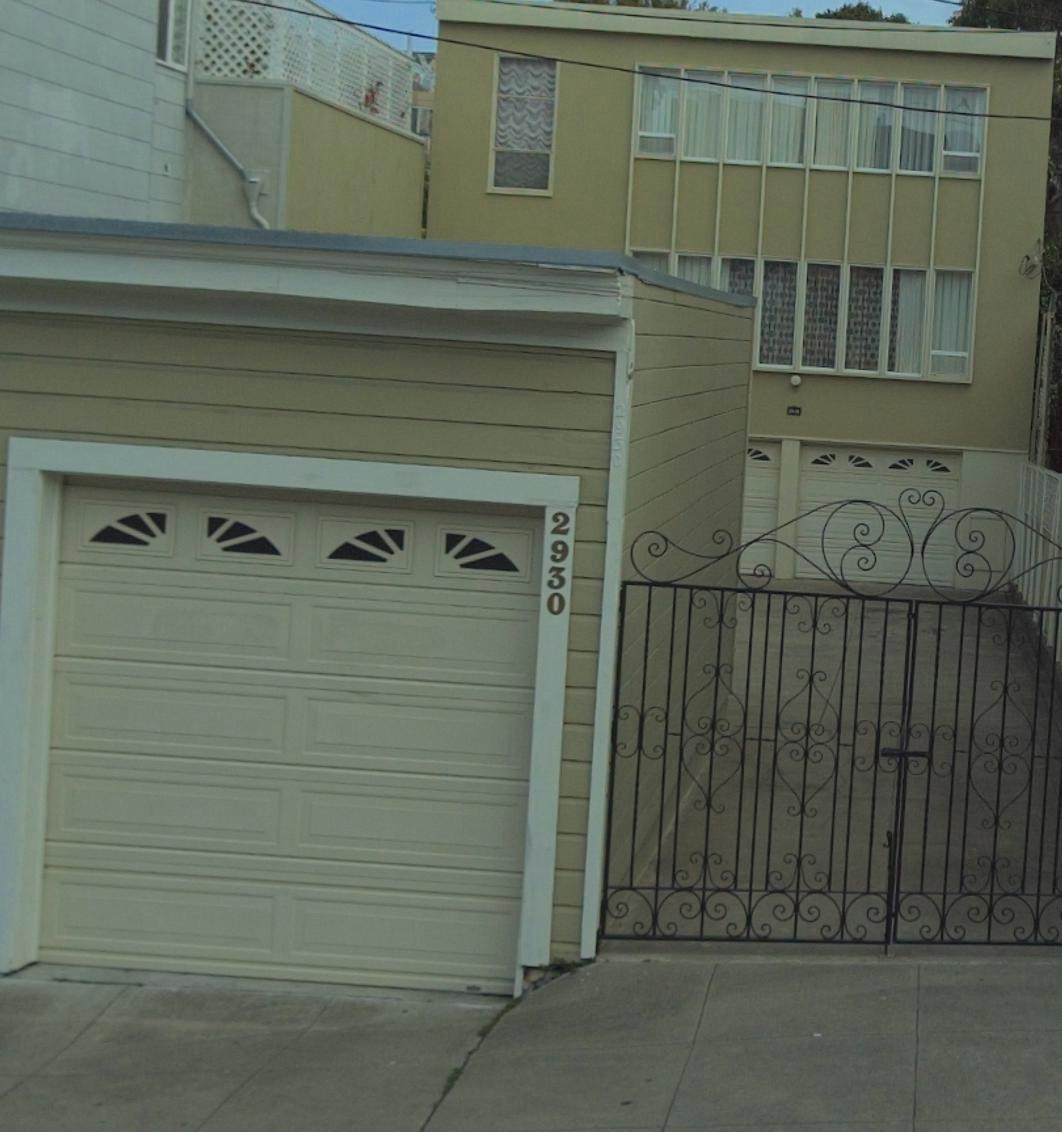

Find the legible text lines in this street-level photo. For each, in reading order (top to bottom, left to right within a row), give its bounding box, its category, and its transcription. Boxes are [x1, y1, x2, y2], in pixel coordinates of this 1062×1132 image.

[543, 508, 573, 620] StreetNumber: 2930